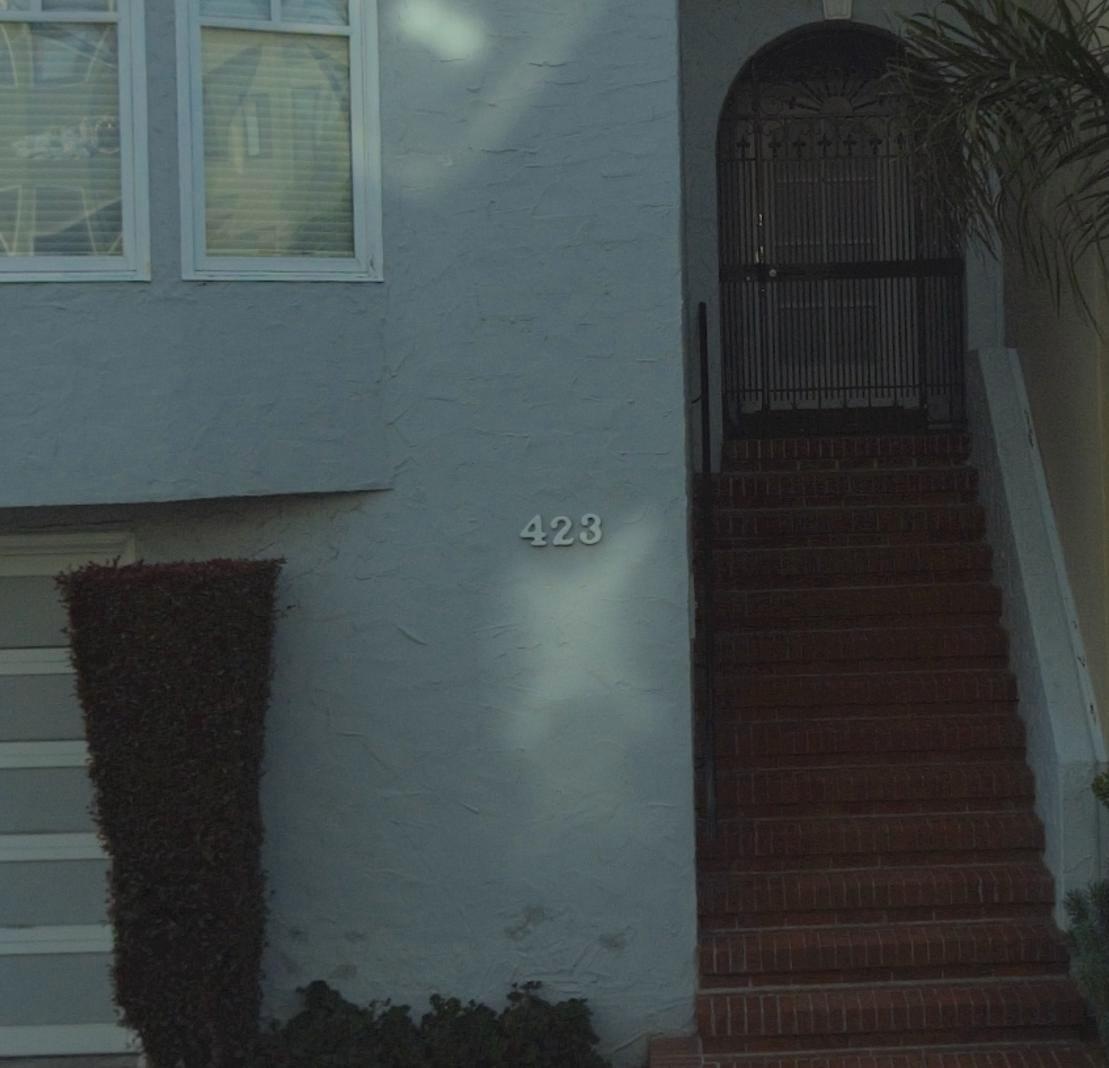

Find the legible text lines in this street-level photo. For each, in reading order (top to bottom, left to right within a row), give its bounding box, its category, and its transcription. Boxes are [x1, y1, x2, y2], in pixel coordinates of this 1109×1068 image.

[514, 511, 606, 549] StreetNumber: 423